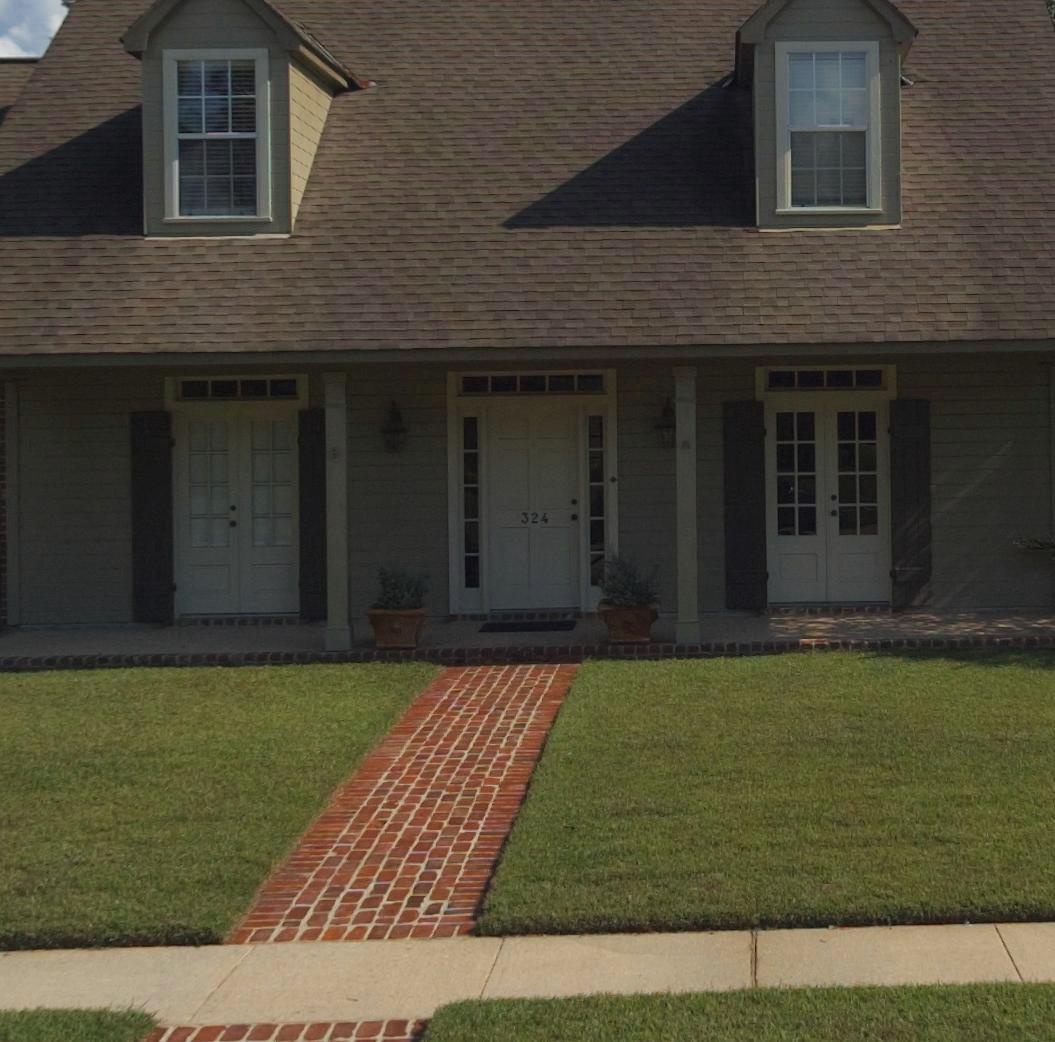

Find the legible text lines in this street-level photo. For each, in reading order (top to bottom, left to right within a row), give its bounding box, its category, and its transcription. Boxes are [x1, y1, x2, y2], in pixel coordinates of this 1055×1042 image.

[521, 512, 550, 524] StreetNumber: 324